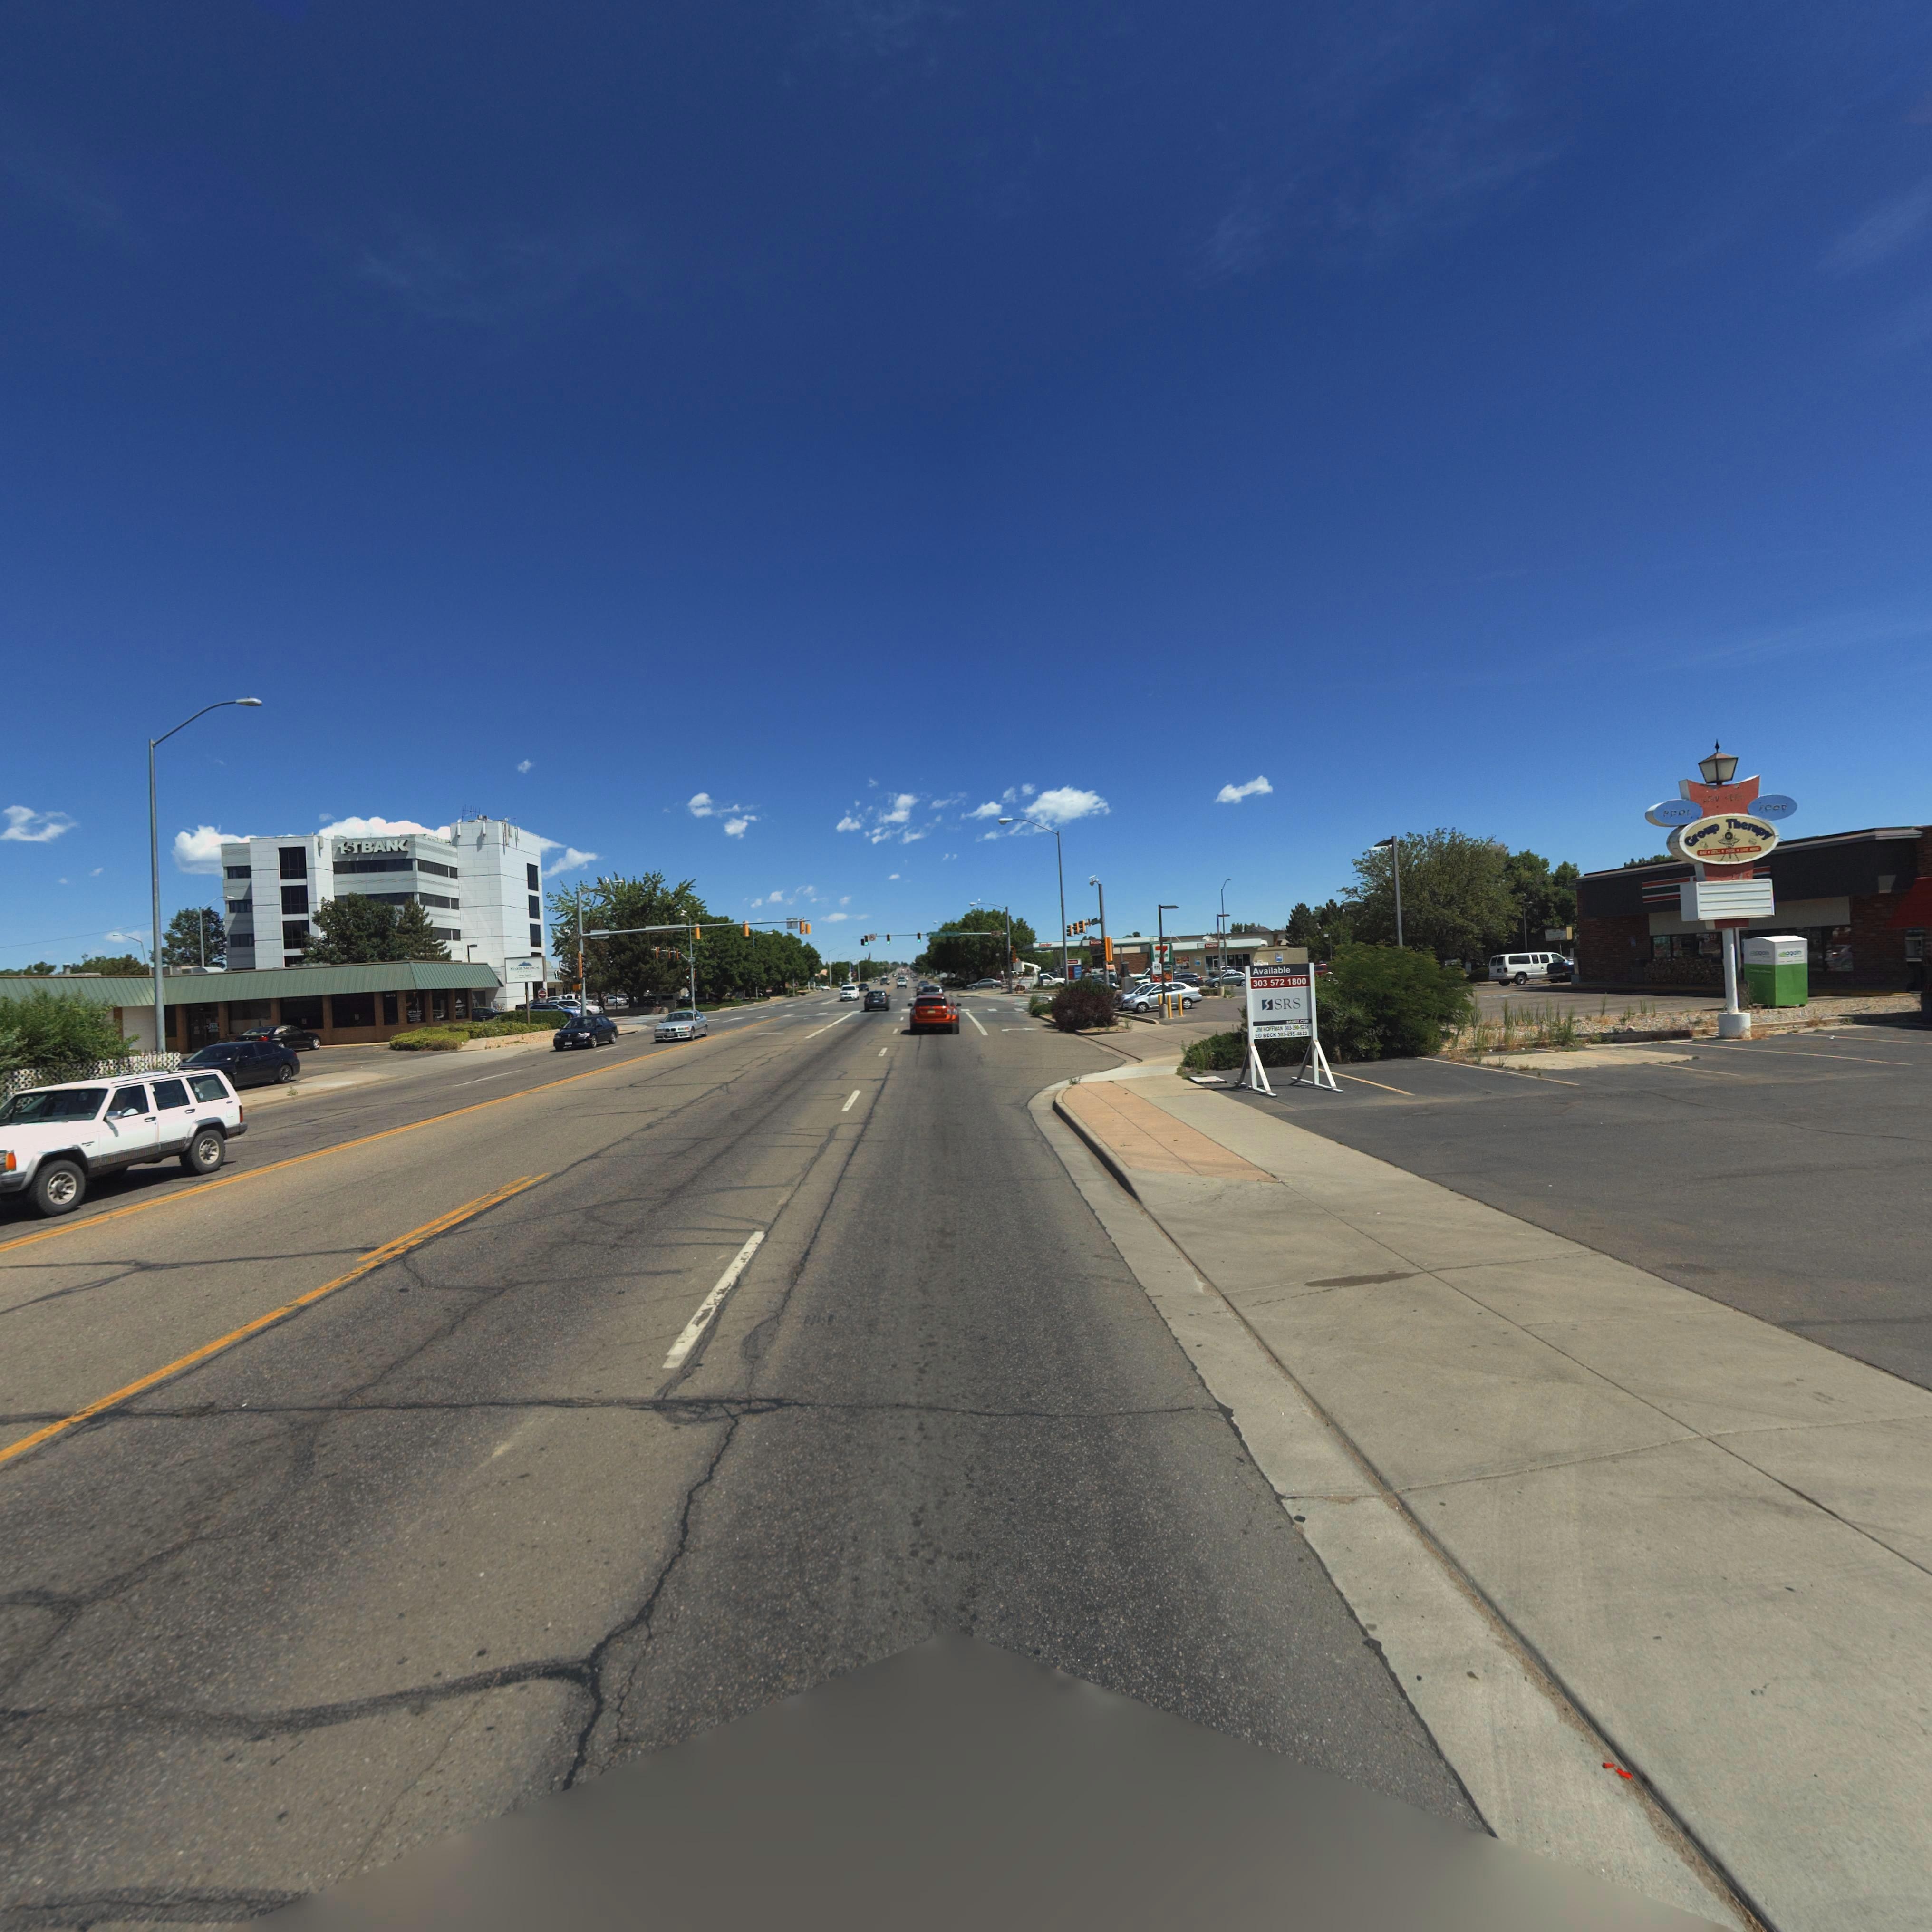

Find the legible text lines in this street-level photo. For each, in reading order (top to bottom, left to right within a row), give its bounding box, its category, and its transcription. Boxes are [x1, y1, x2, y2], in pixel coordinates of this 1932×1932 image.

[337, 839, 408, 854] BusinessName: 1S*BAN*
[1038, 942, 1053, 947] BusinessName: S***l***
[1090, 940, 1101, 944] BusinessName: B*****
[1206, 943, 1218, 947] BusinessName: B******
[1155, 953, 1168, 958] BusinessName: *L****
[510, 966, 540, 971] BusinessName: M*** M****
[385, 993, 396, 997] StreetNumber: 1**9